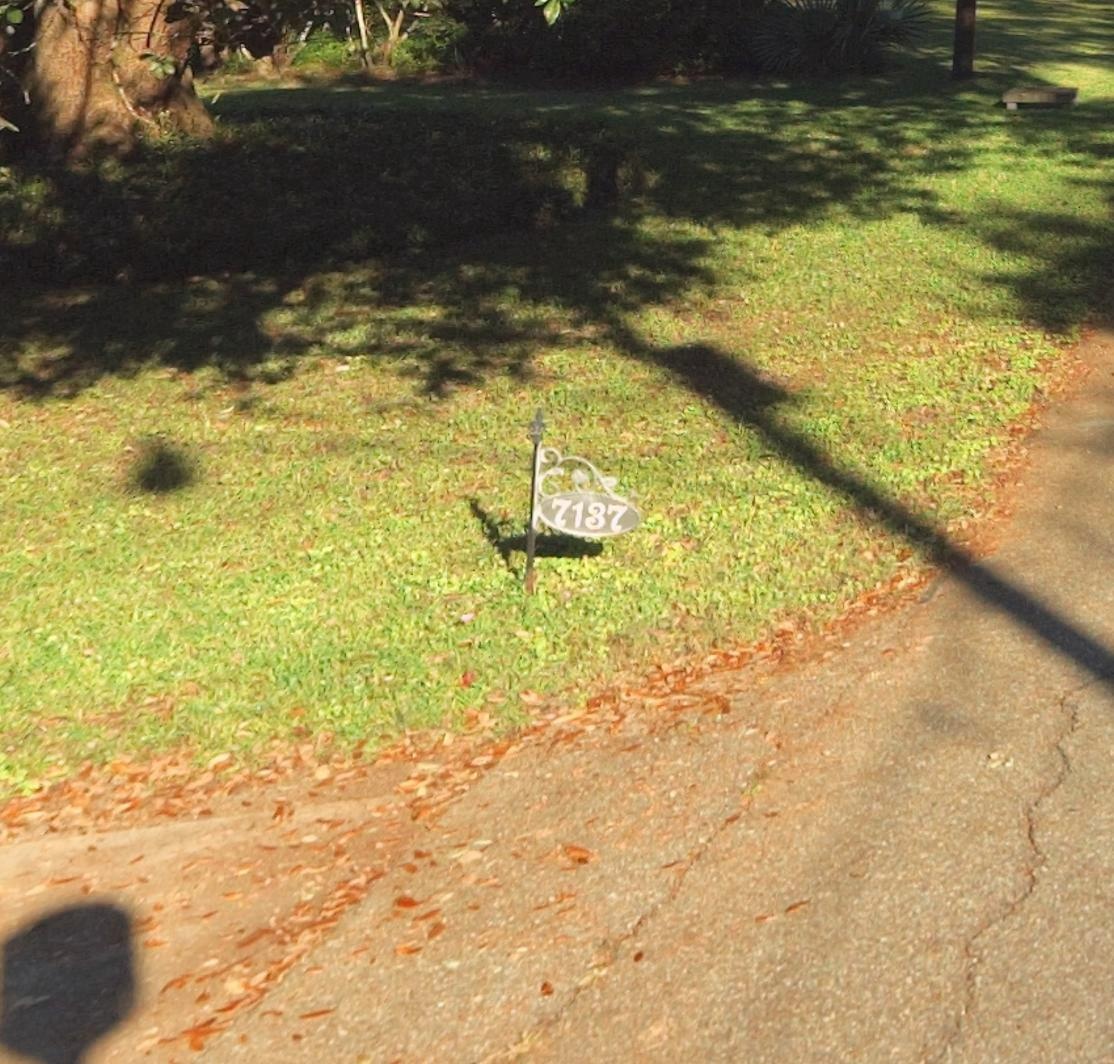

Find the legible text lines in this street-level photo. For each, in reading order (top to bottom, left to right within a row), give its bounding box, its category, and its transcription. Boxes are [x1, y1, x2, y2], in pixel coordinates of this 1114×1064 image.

[549, 496, 633, 534] StreetNumber: 7137